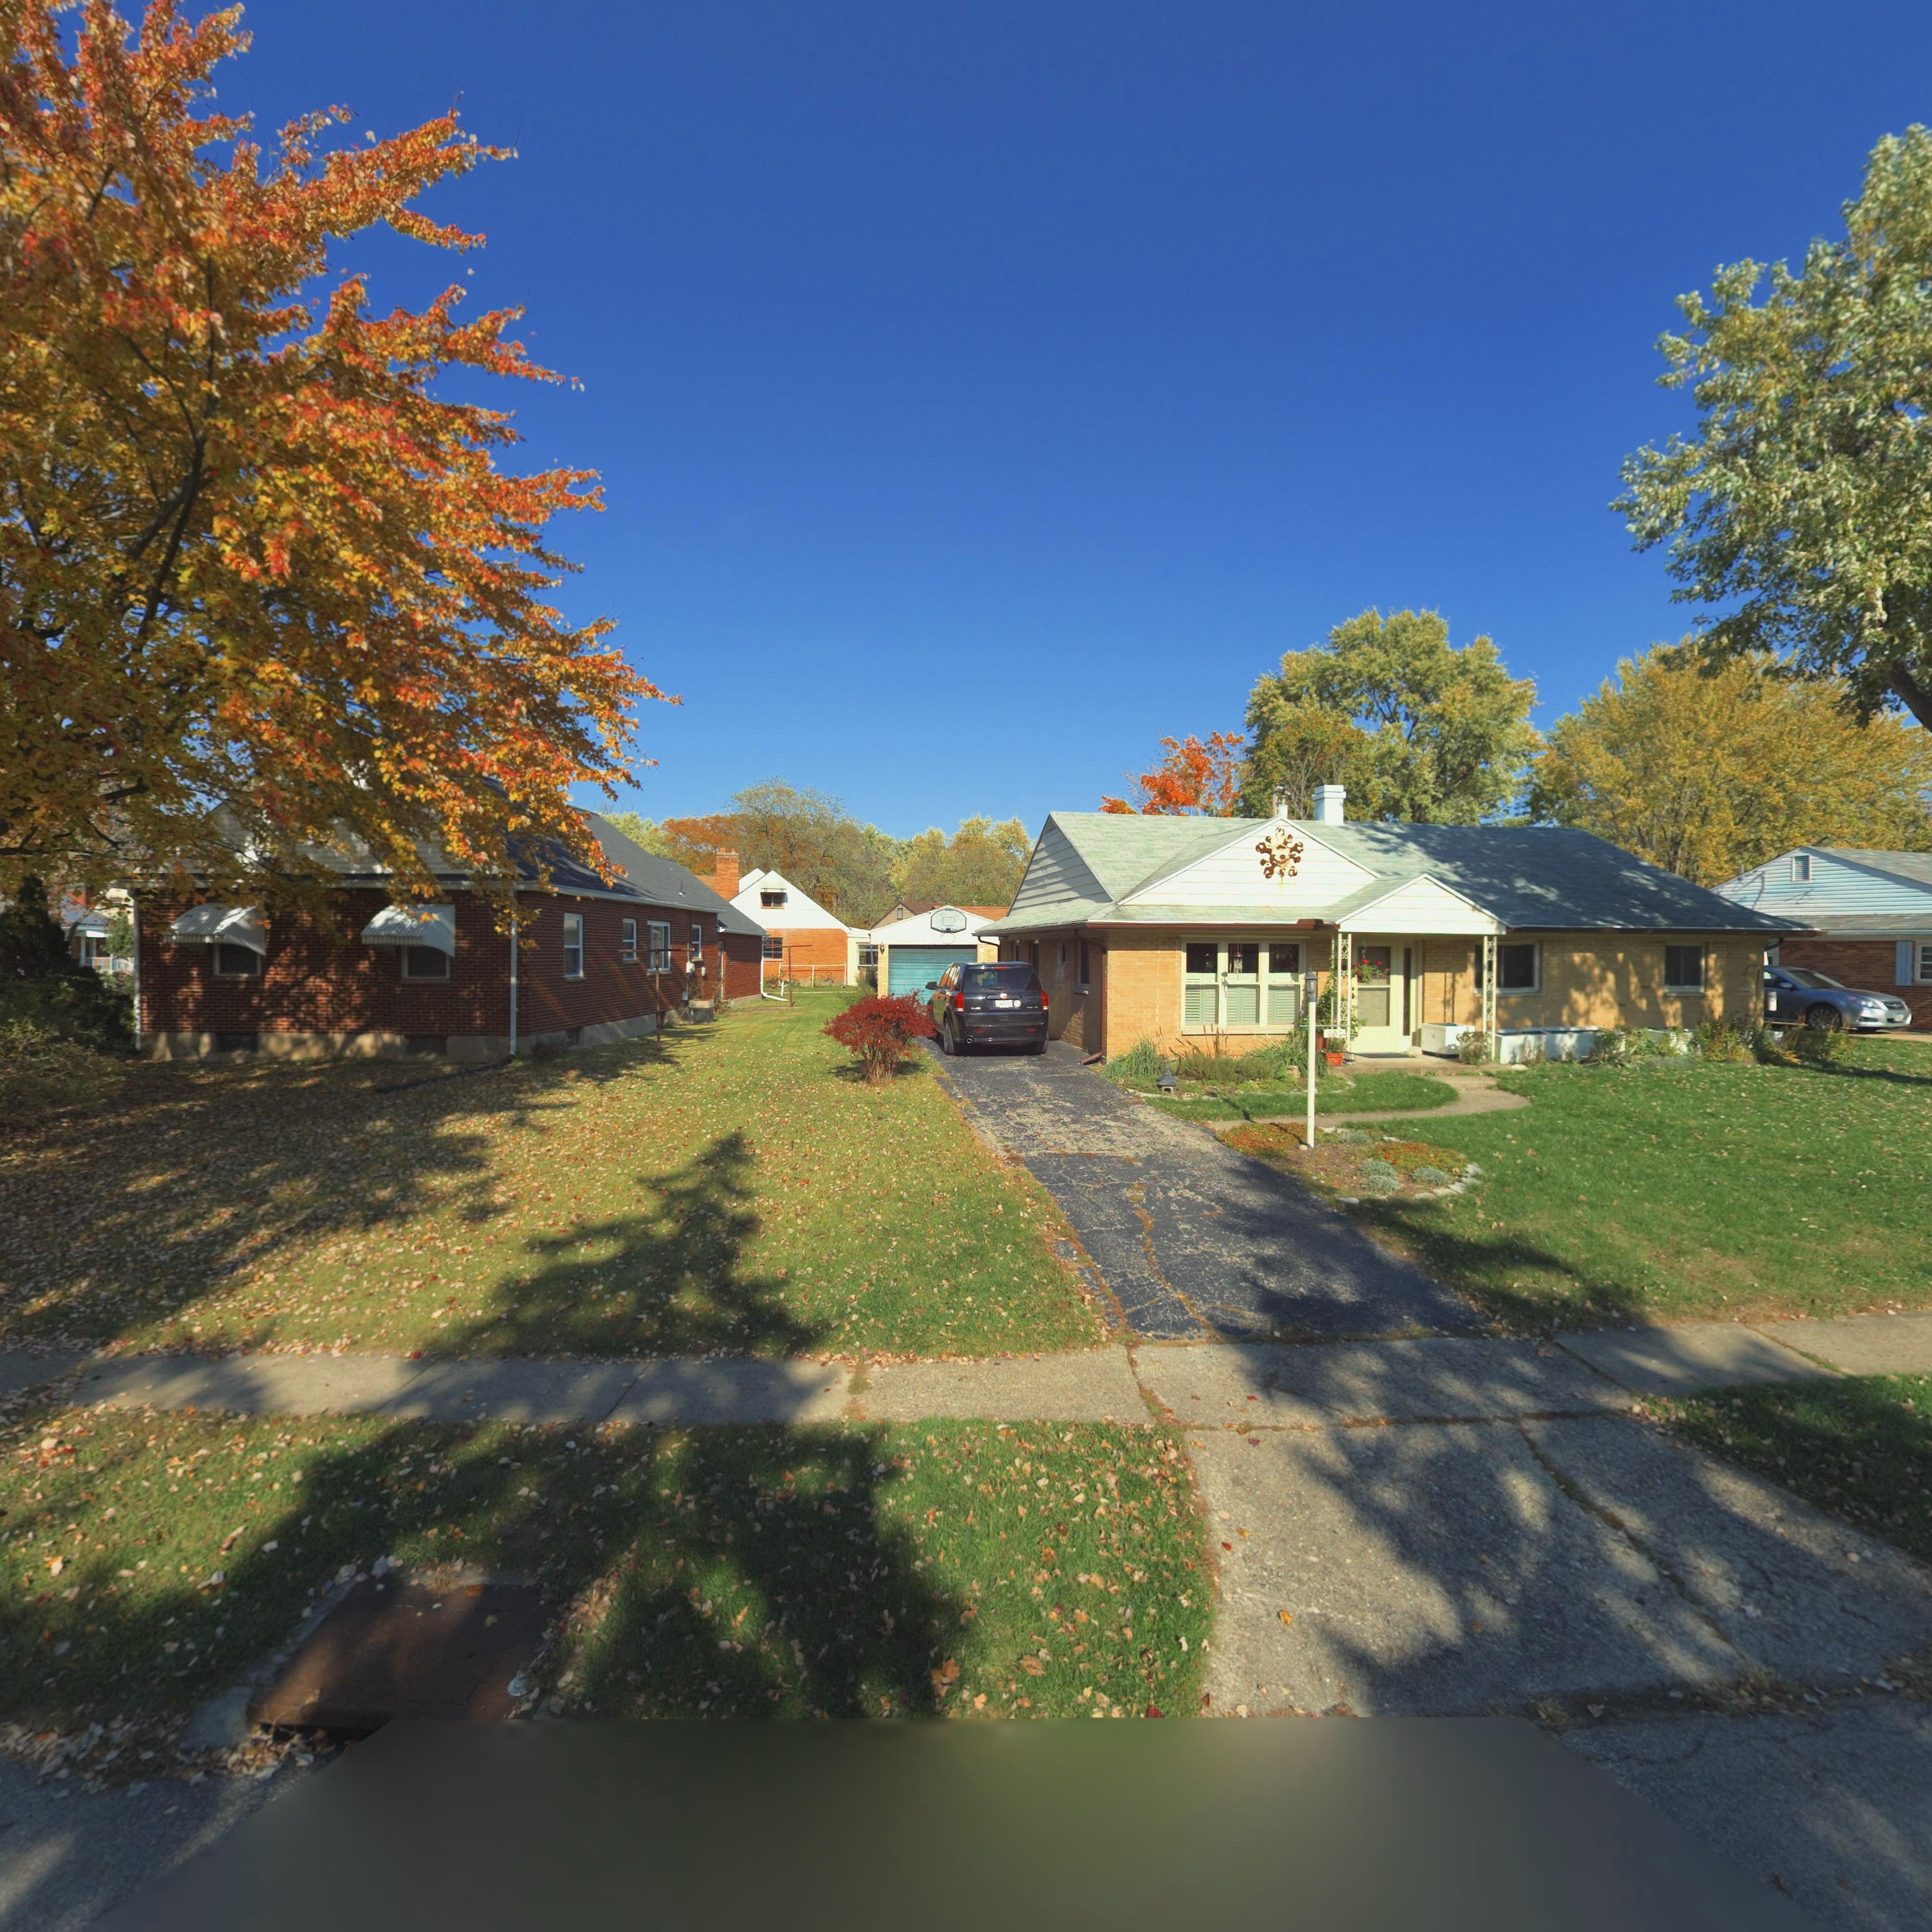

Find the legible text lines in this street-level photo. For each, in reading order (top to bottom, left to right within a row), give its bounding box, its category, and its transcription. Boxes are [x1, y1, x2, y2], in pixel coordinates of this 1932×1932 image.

[1327, 1030, 1343, 1038] StreetNumber: 607